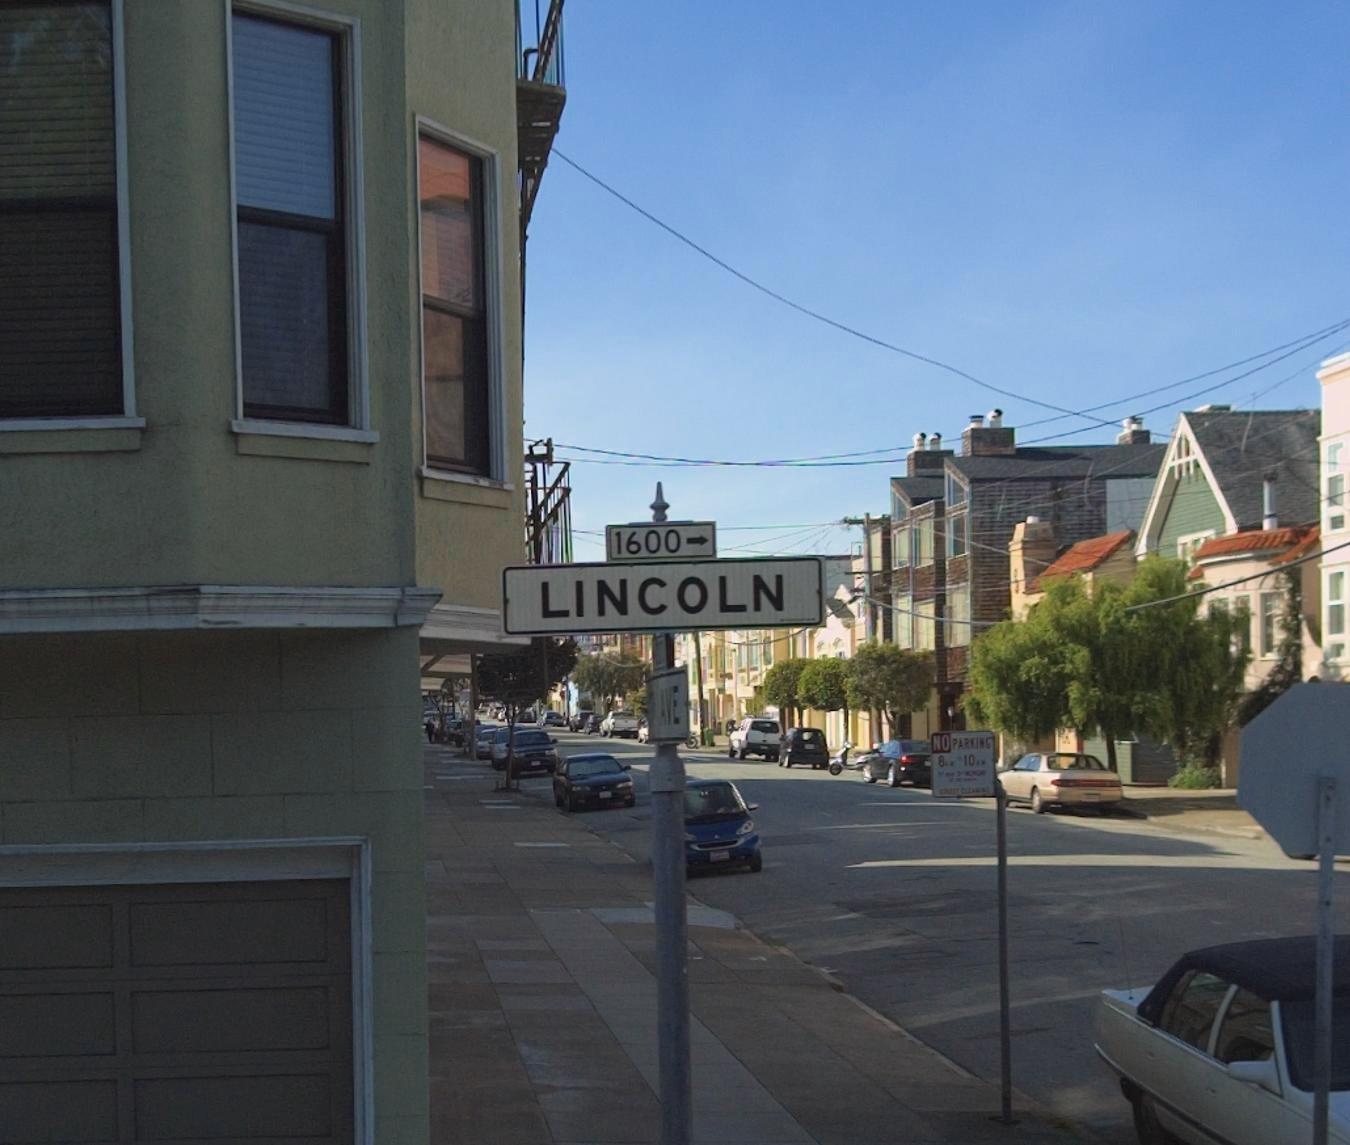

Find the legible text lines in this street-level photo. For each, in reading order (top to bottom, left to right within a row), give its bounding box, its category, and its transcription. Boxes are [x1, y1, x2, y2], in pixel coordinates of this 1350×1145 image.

[612, 526, 710, 556] StreetNumberRange: 1600->
[538, 572, 787, 620] StreetName: LINCOLN
[655, 682, 683, 728] StreetName: AVE
[932, 733, 993, 753] None: NO PARKING
[936, 753, 988, 770] None: 8AM*10AM